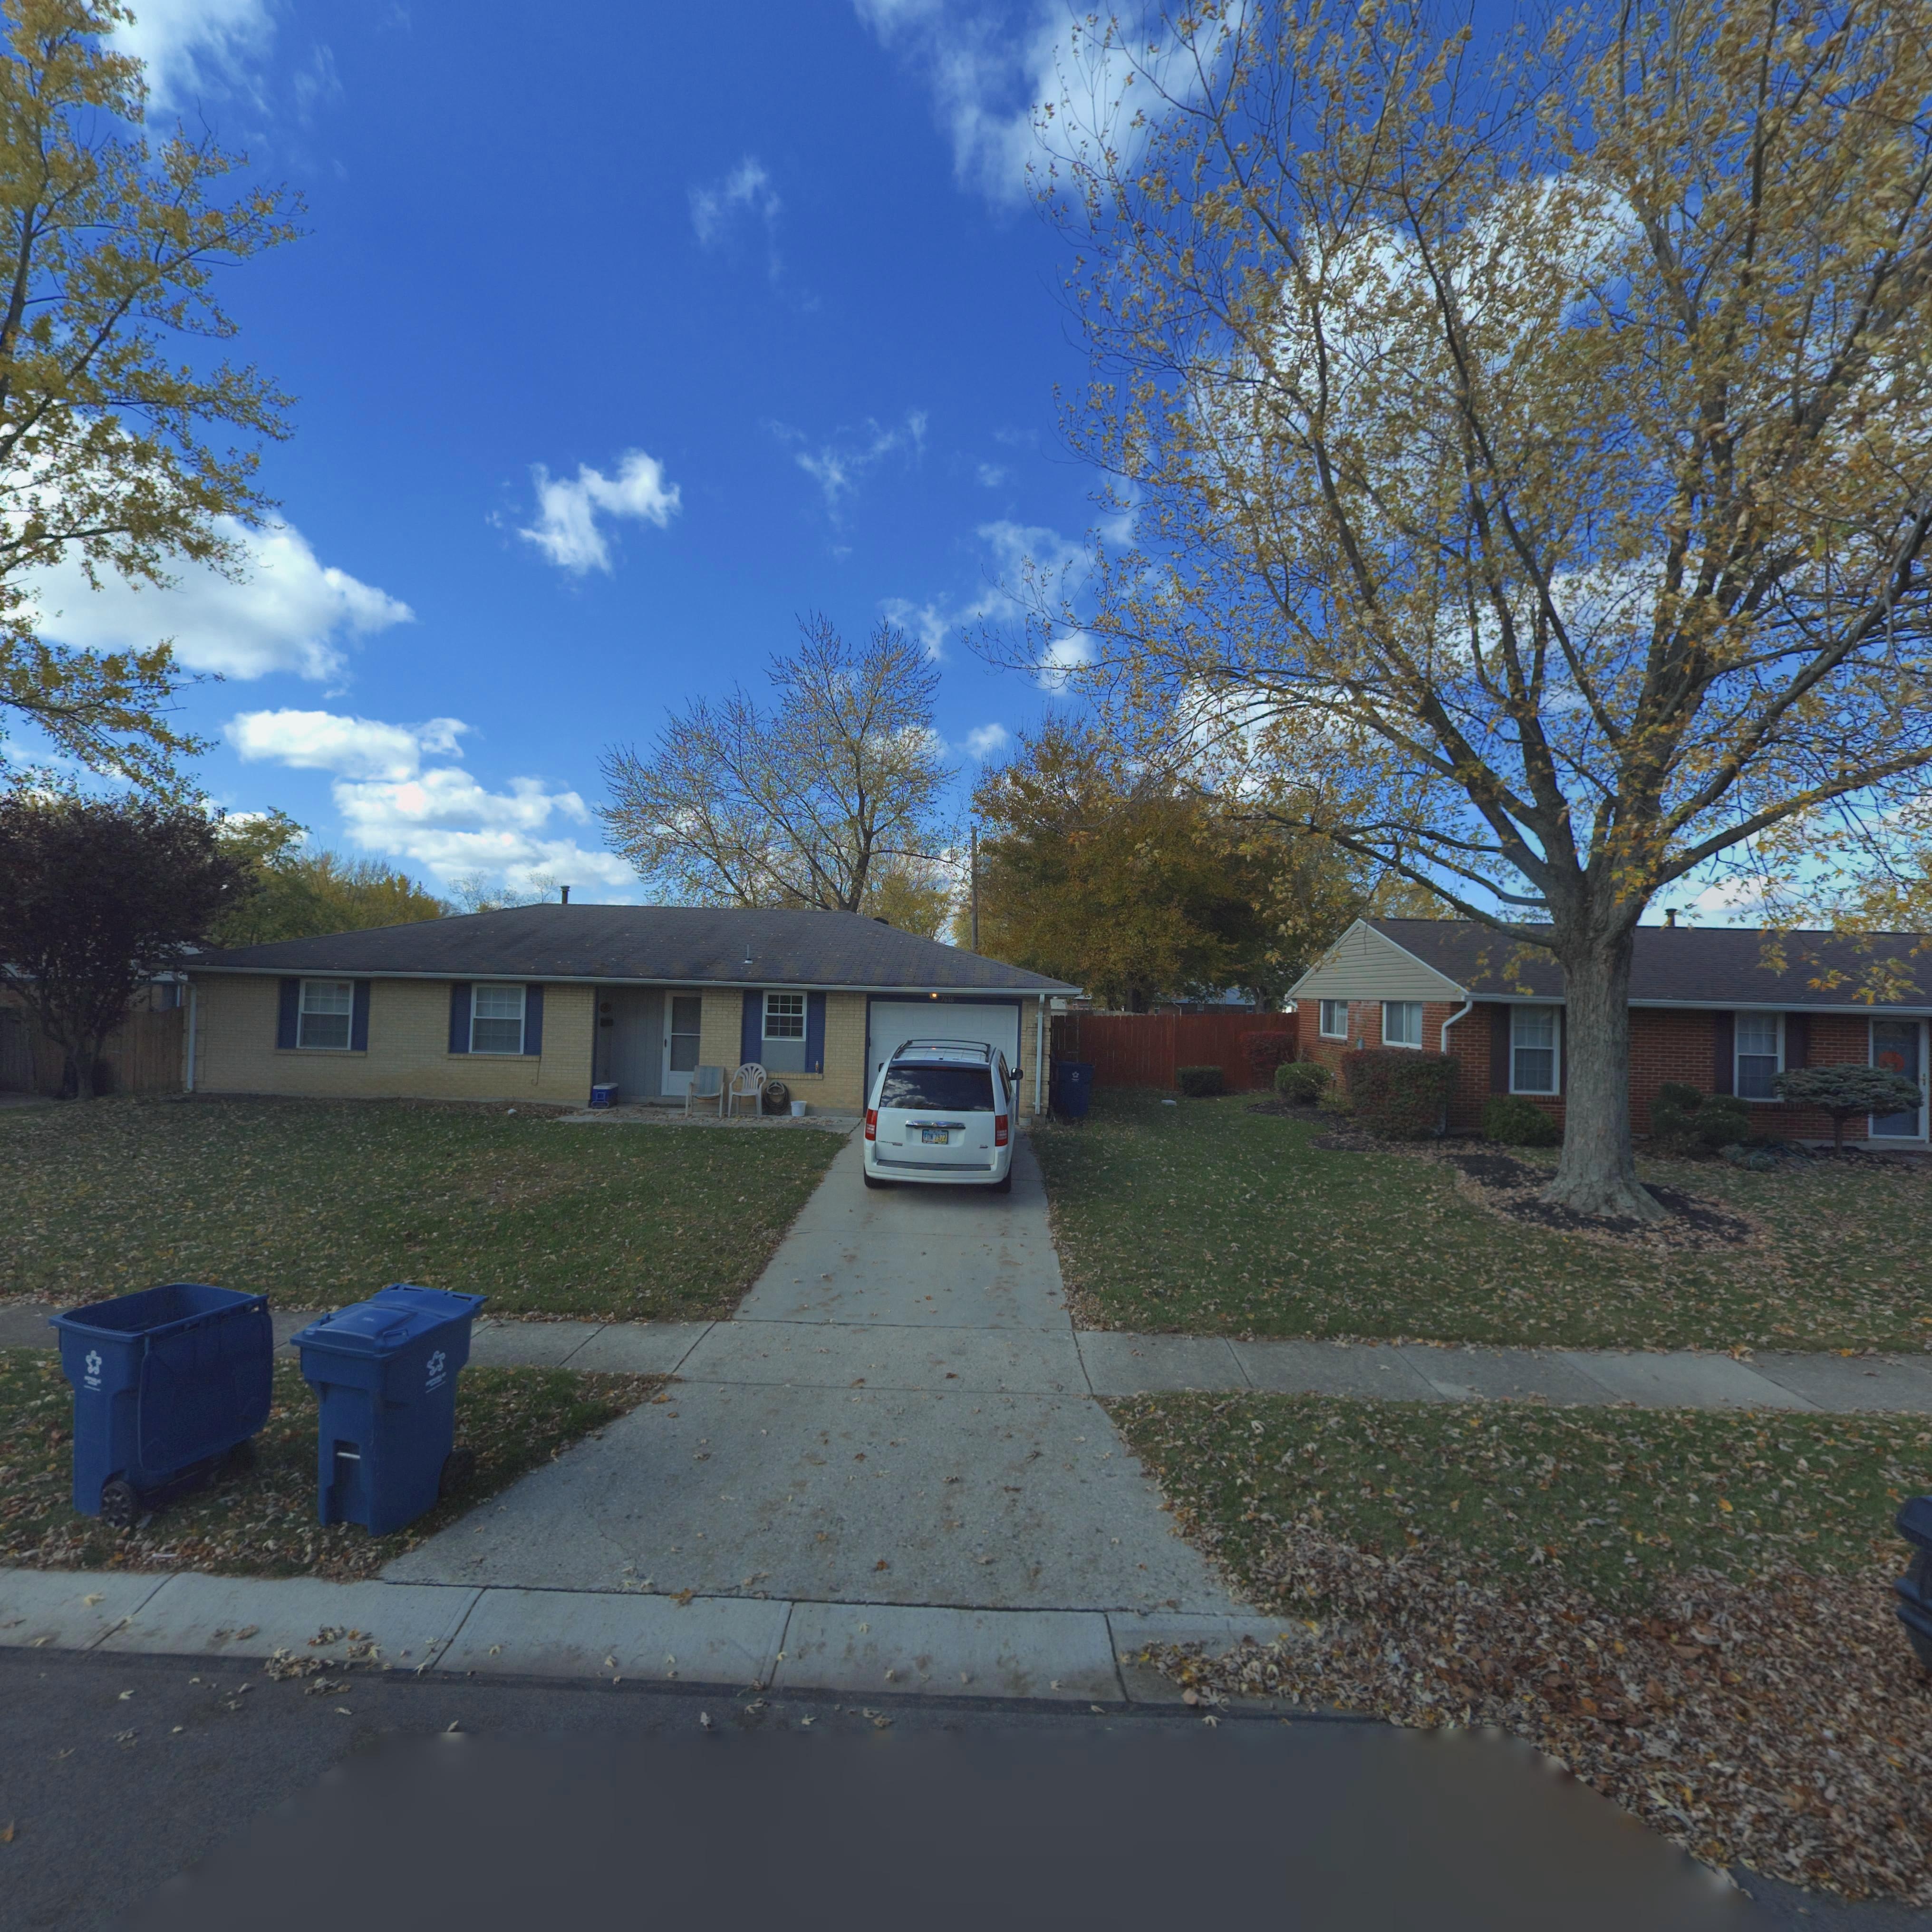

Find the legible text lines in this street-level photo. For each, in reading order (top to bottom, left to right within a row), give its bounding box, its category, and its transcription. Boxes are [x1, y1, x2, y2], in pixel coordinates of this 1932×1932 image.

[940, 995, 955, 1004] StreetNumber: 7618